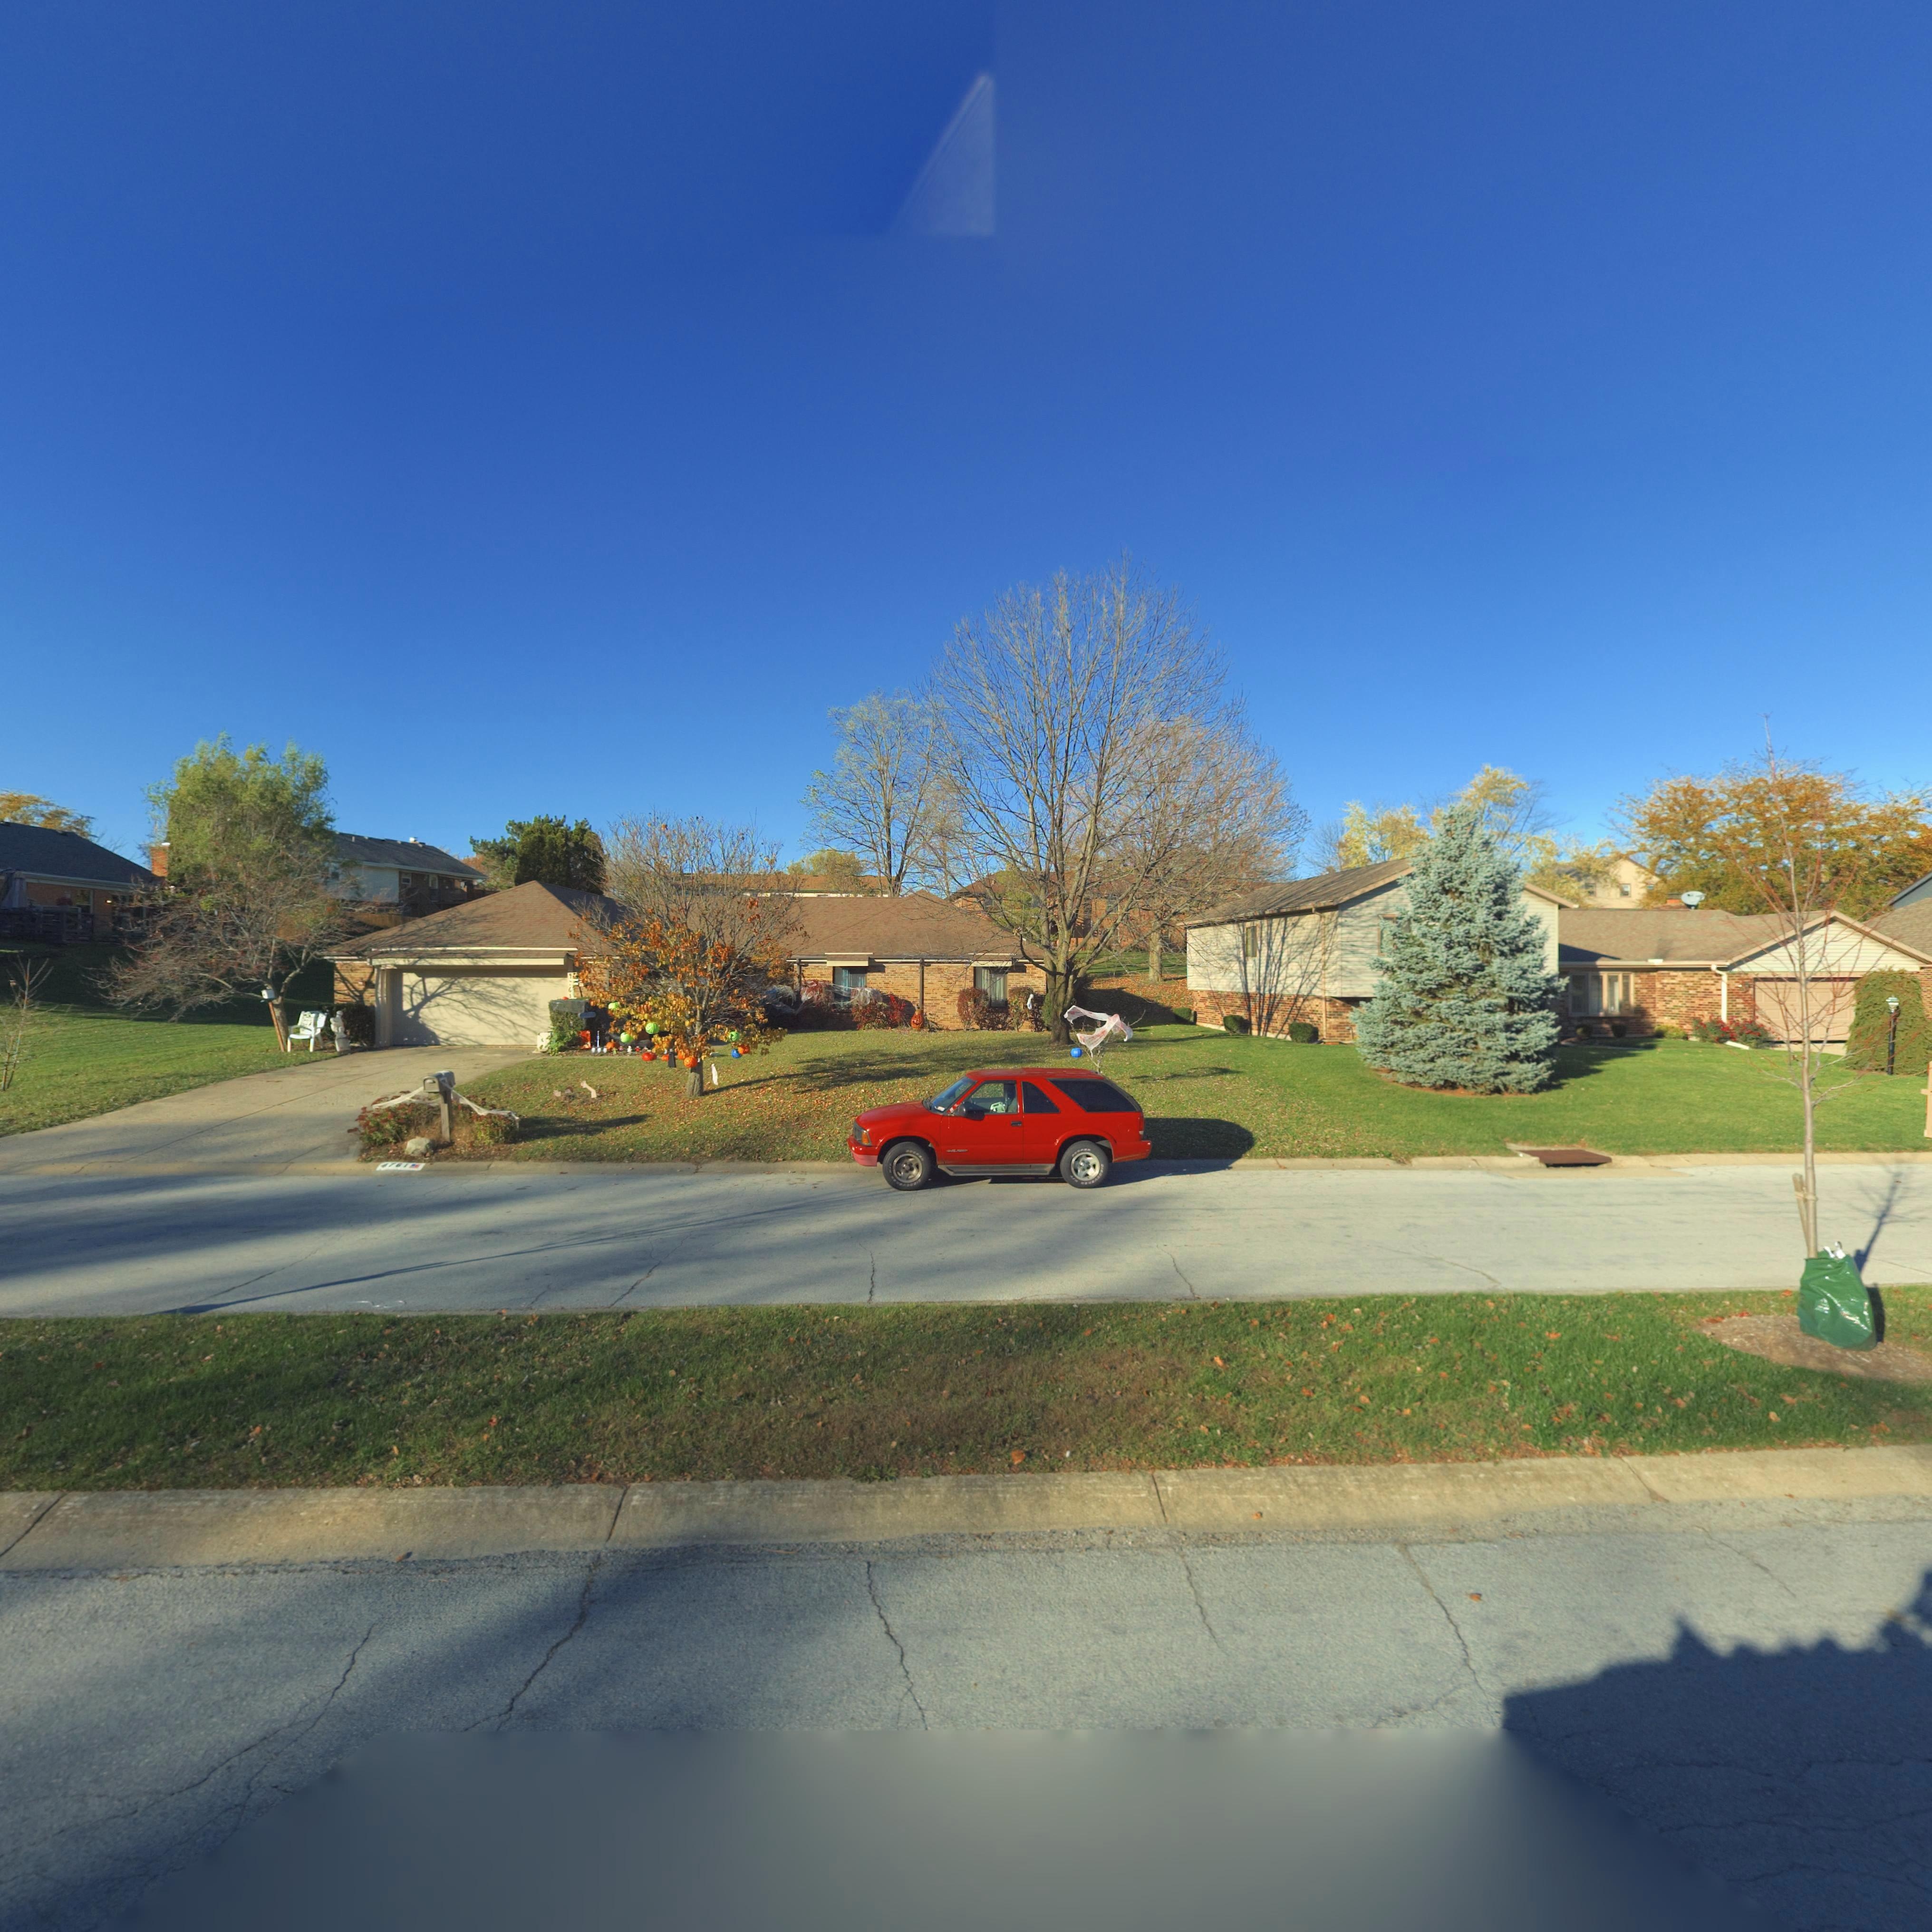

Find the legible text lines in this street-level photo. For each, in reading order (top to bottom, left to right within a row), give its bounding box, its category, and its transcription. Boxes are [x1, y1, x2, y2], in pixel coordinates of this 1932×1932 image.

[567, 972, 573, 999] StreetNumber: **61
[378, 1161, 410, 1169] StreetNumber: 4*61